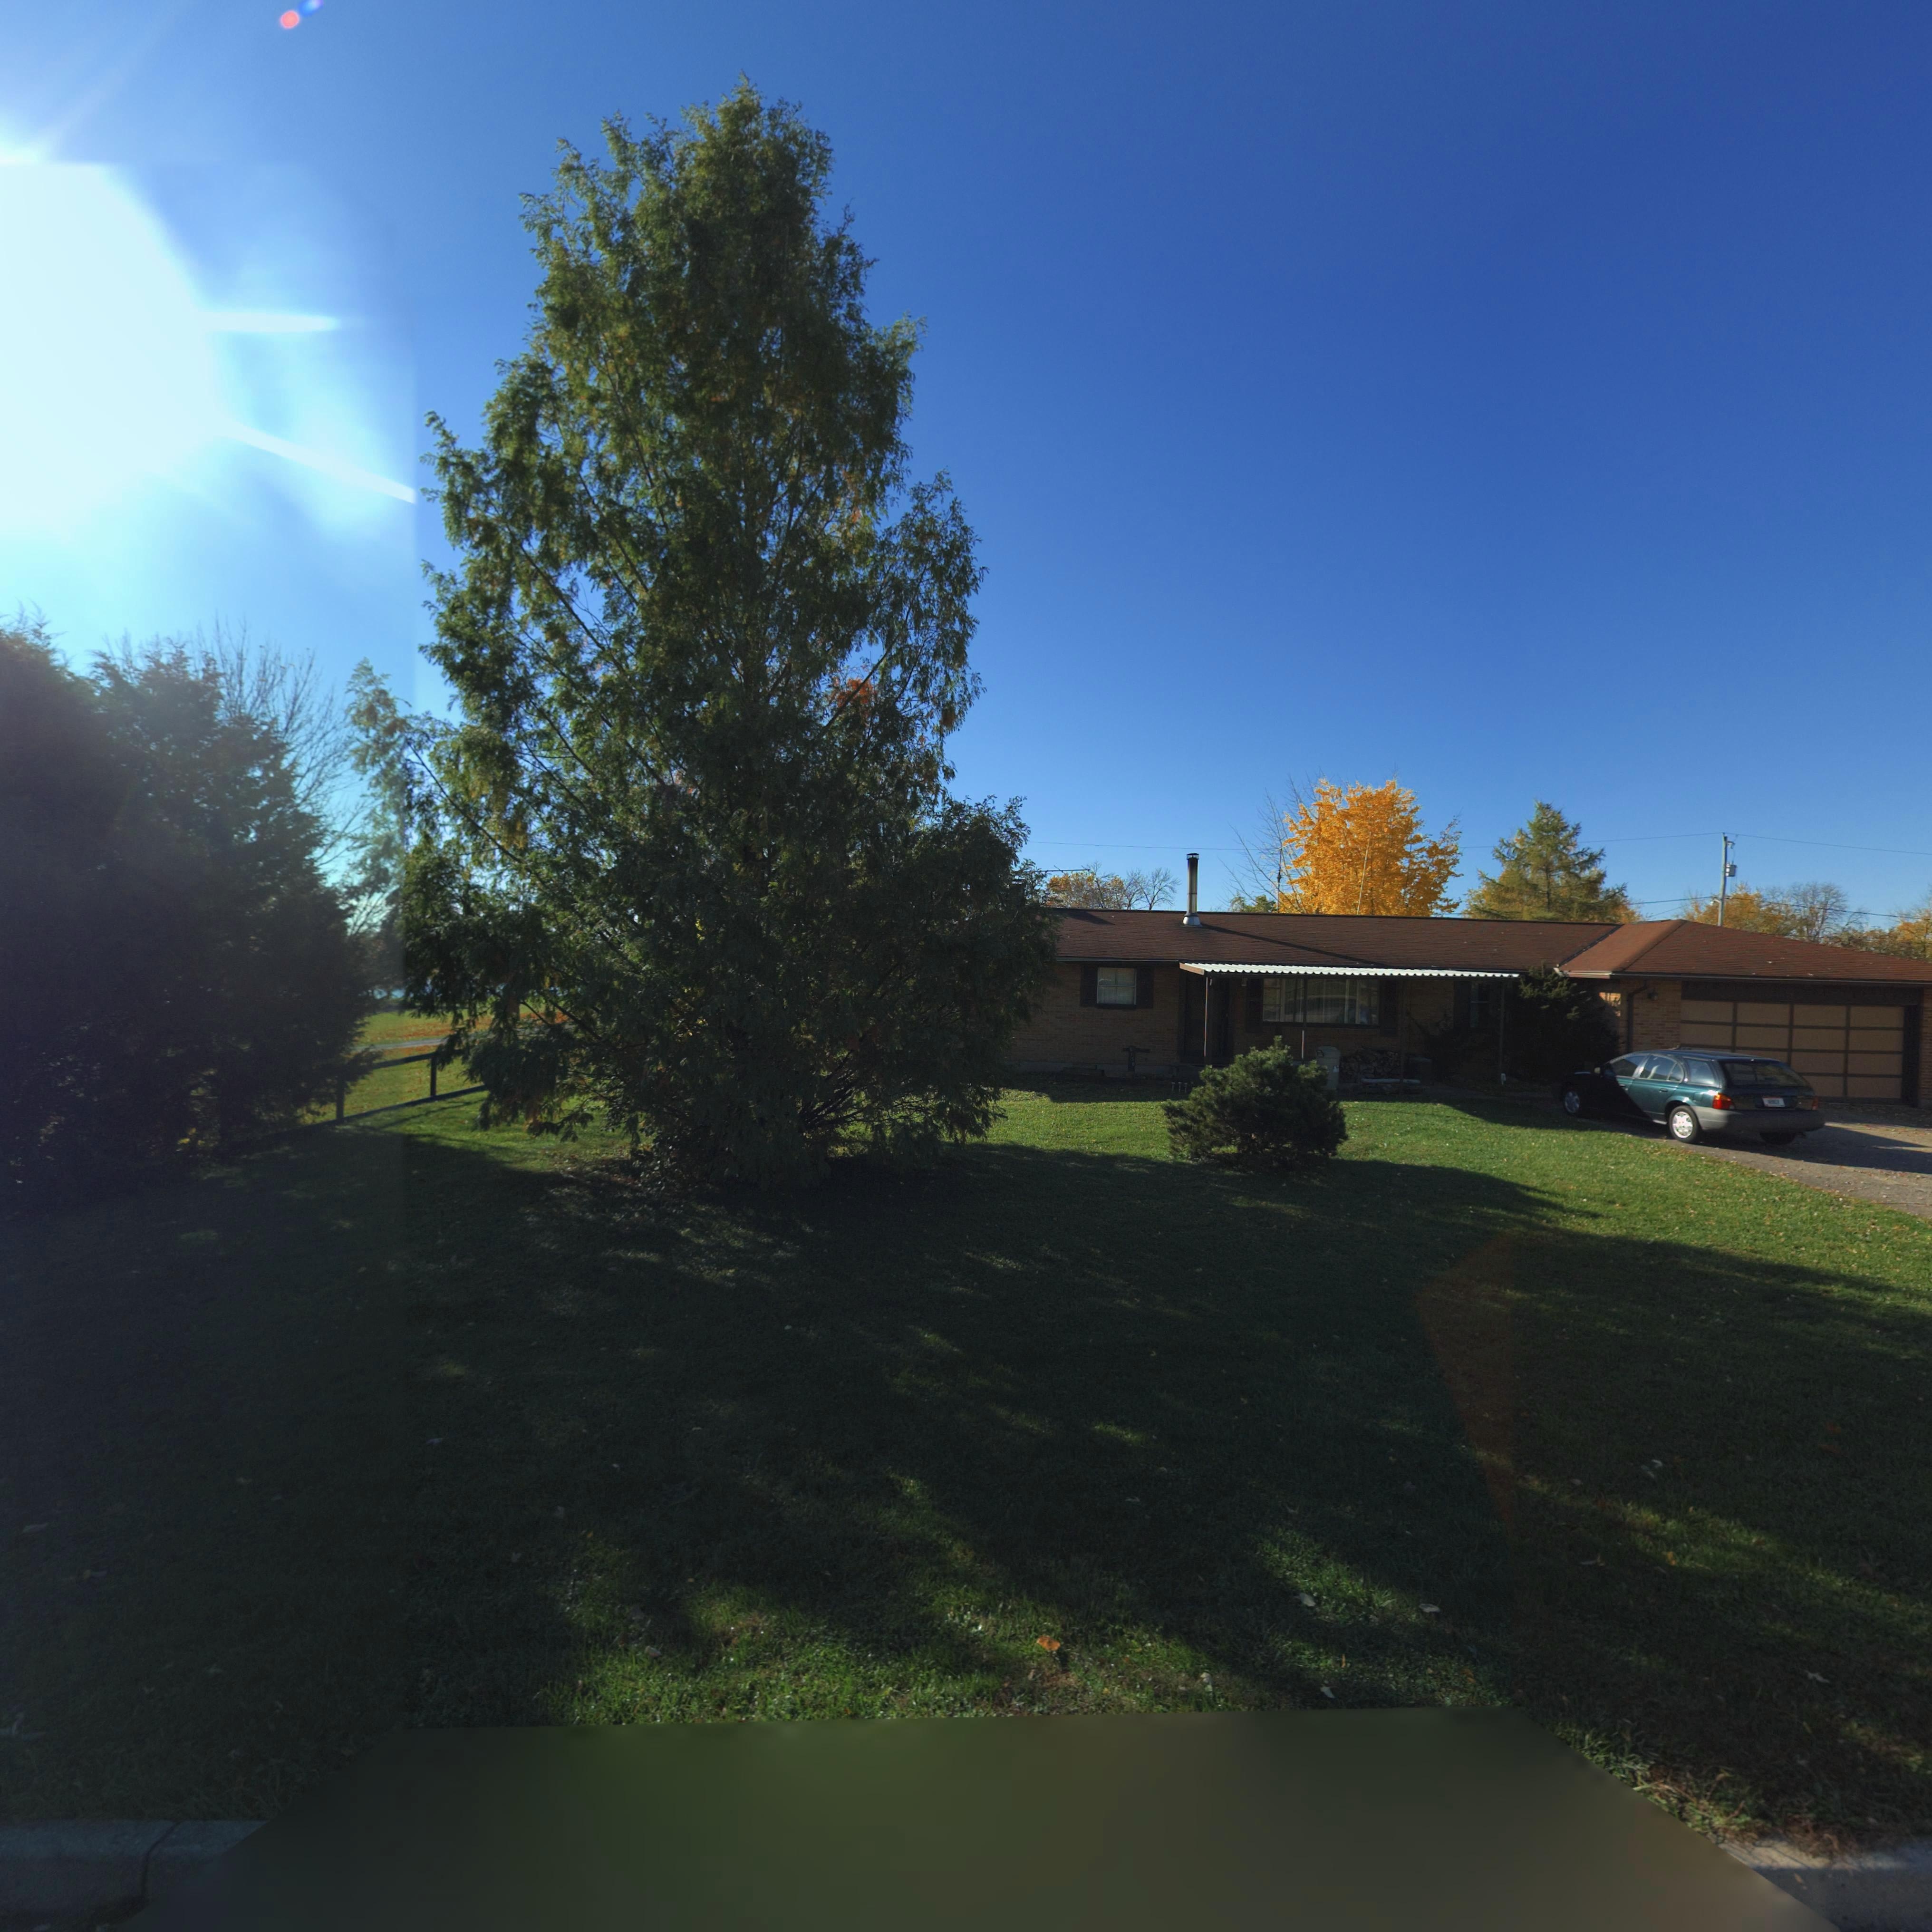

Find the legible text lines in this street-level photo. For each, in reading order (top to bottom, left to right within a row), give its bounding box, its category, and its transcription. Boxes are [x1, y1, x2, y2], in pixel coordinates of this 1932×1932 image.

[1129, 1047, 1135, 1066] StreetNumber: 6130